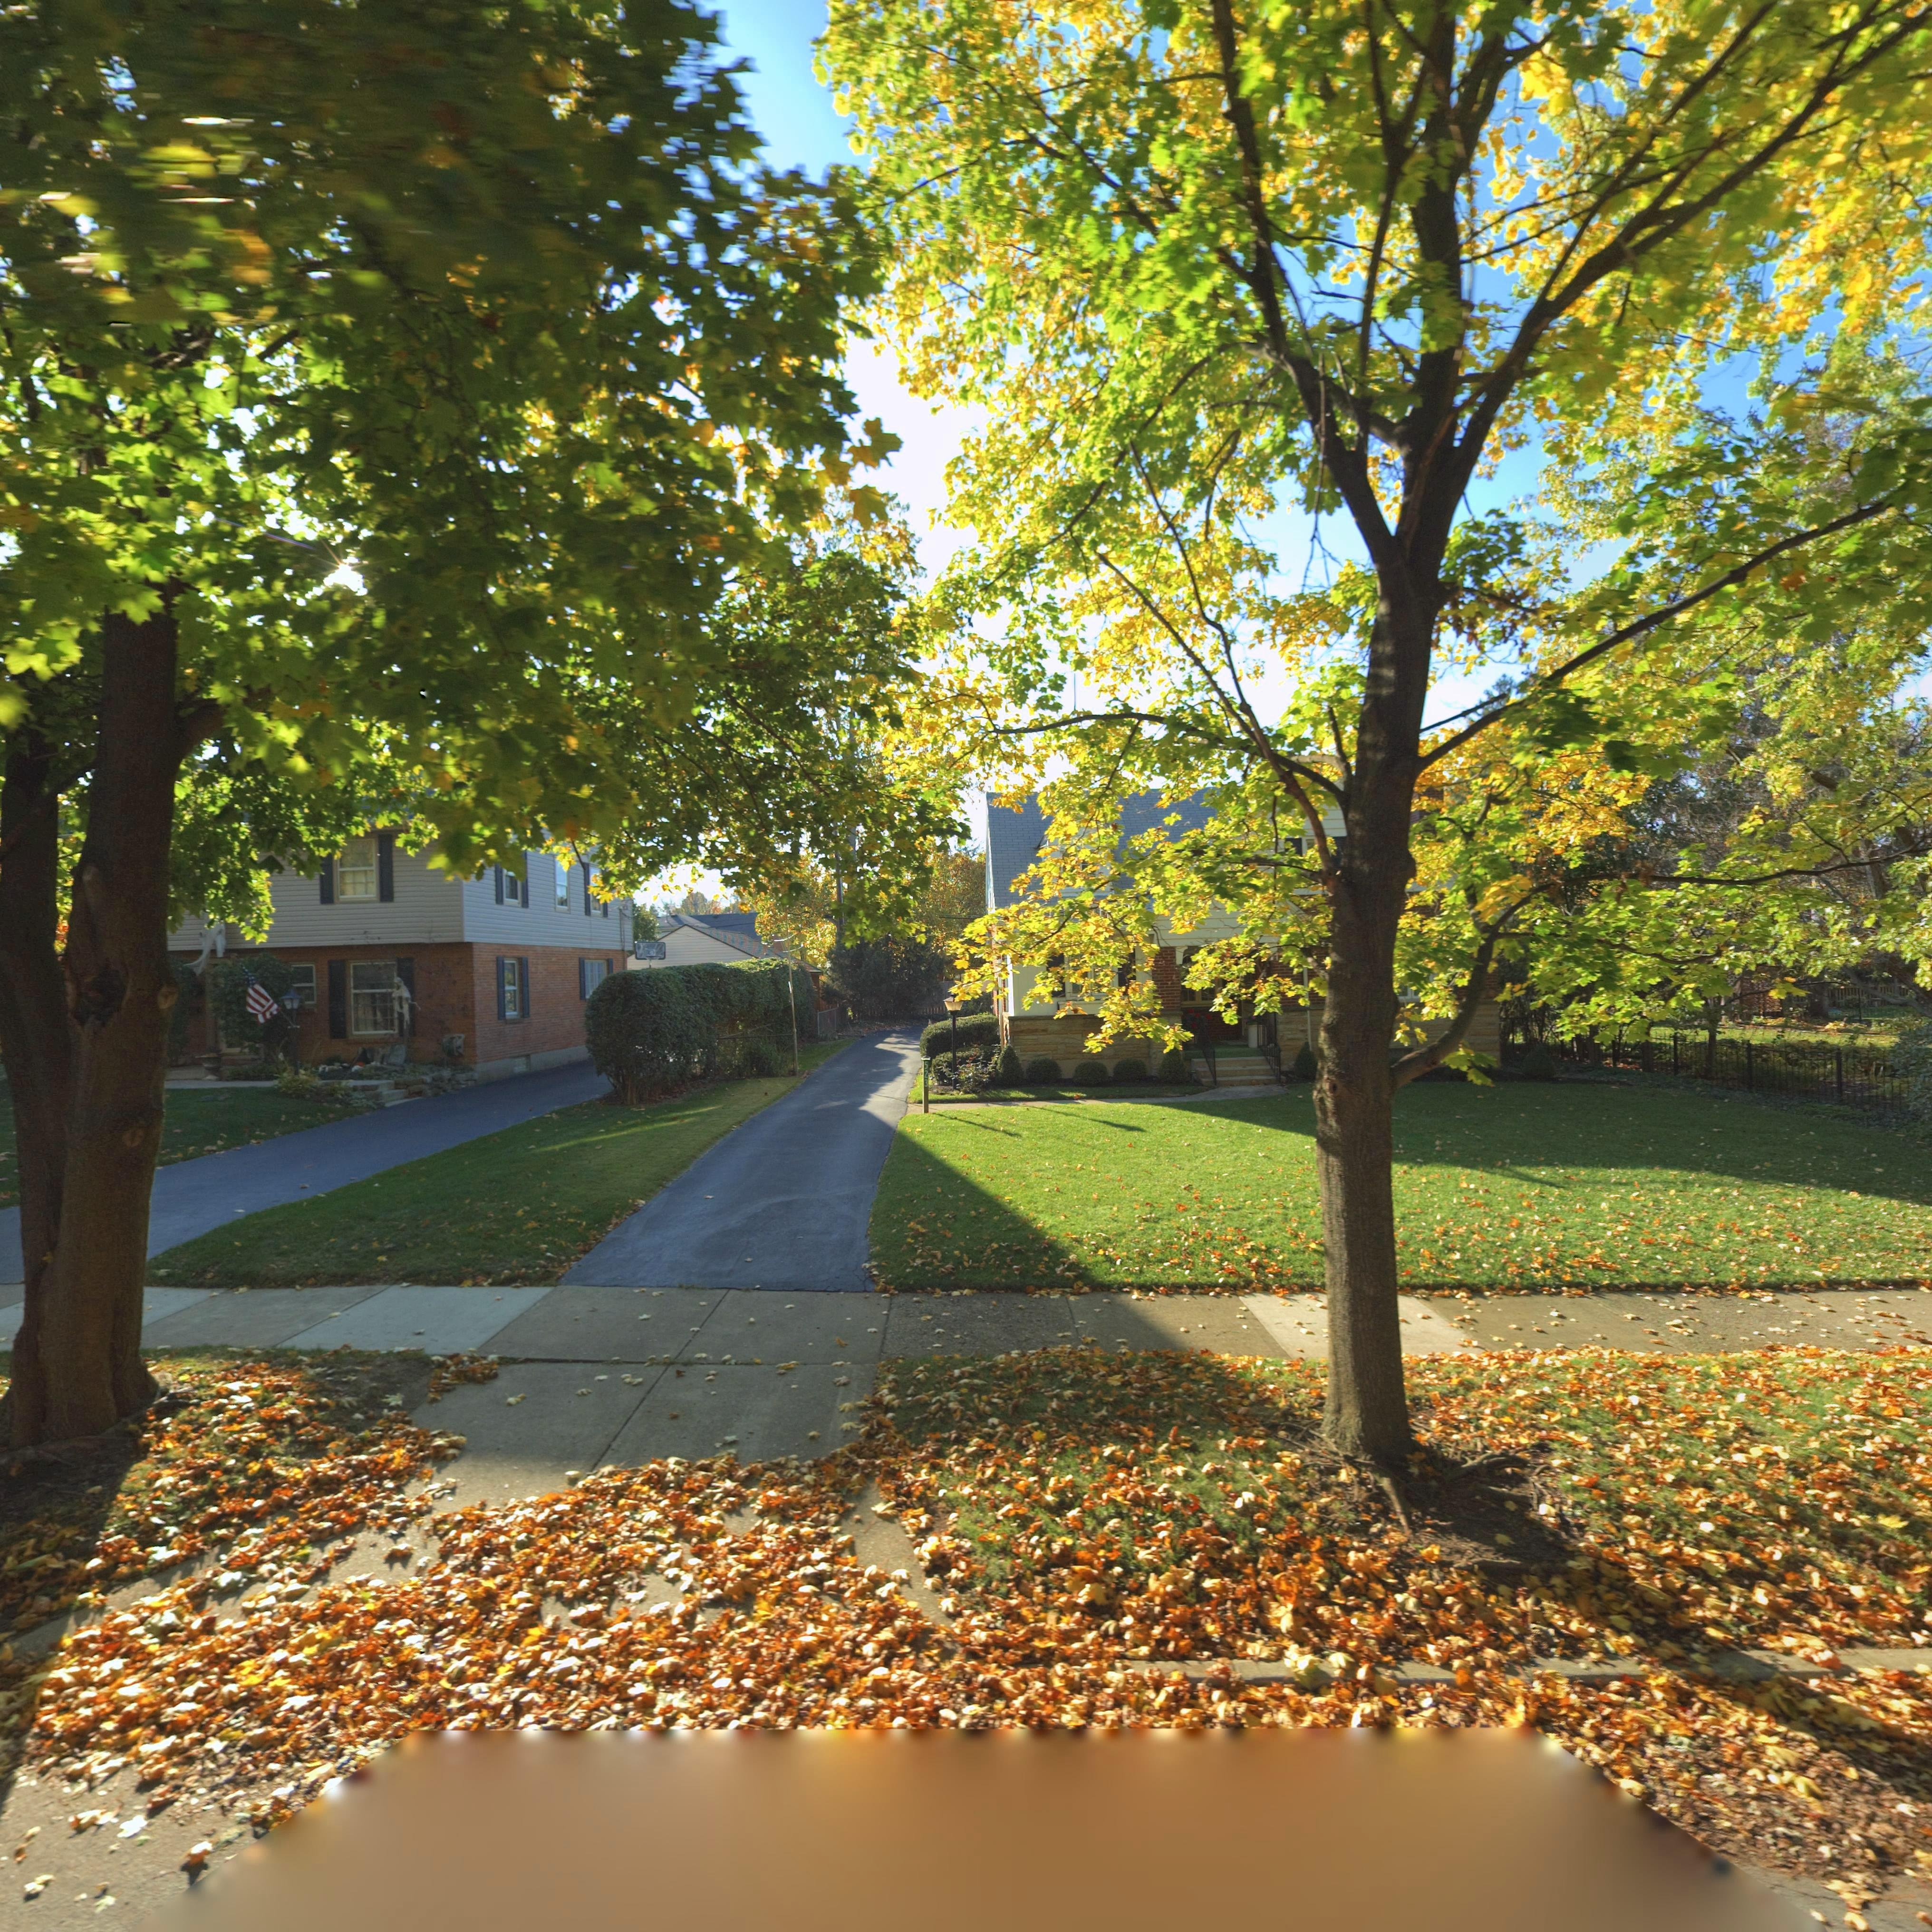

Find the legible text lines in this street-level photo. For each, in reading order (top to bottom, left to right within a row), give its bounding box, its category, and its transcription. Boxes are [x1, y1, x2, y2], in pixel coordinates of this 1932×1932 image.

[924, 1061, 929, 1088] StreetNumber: 523